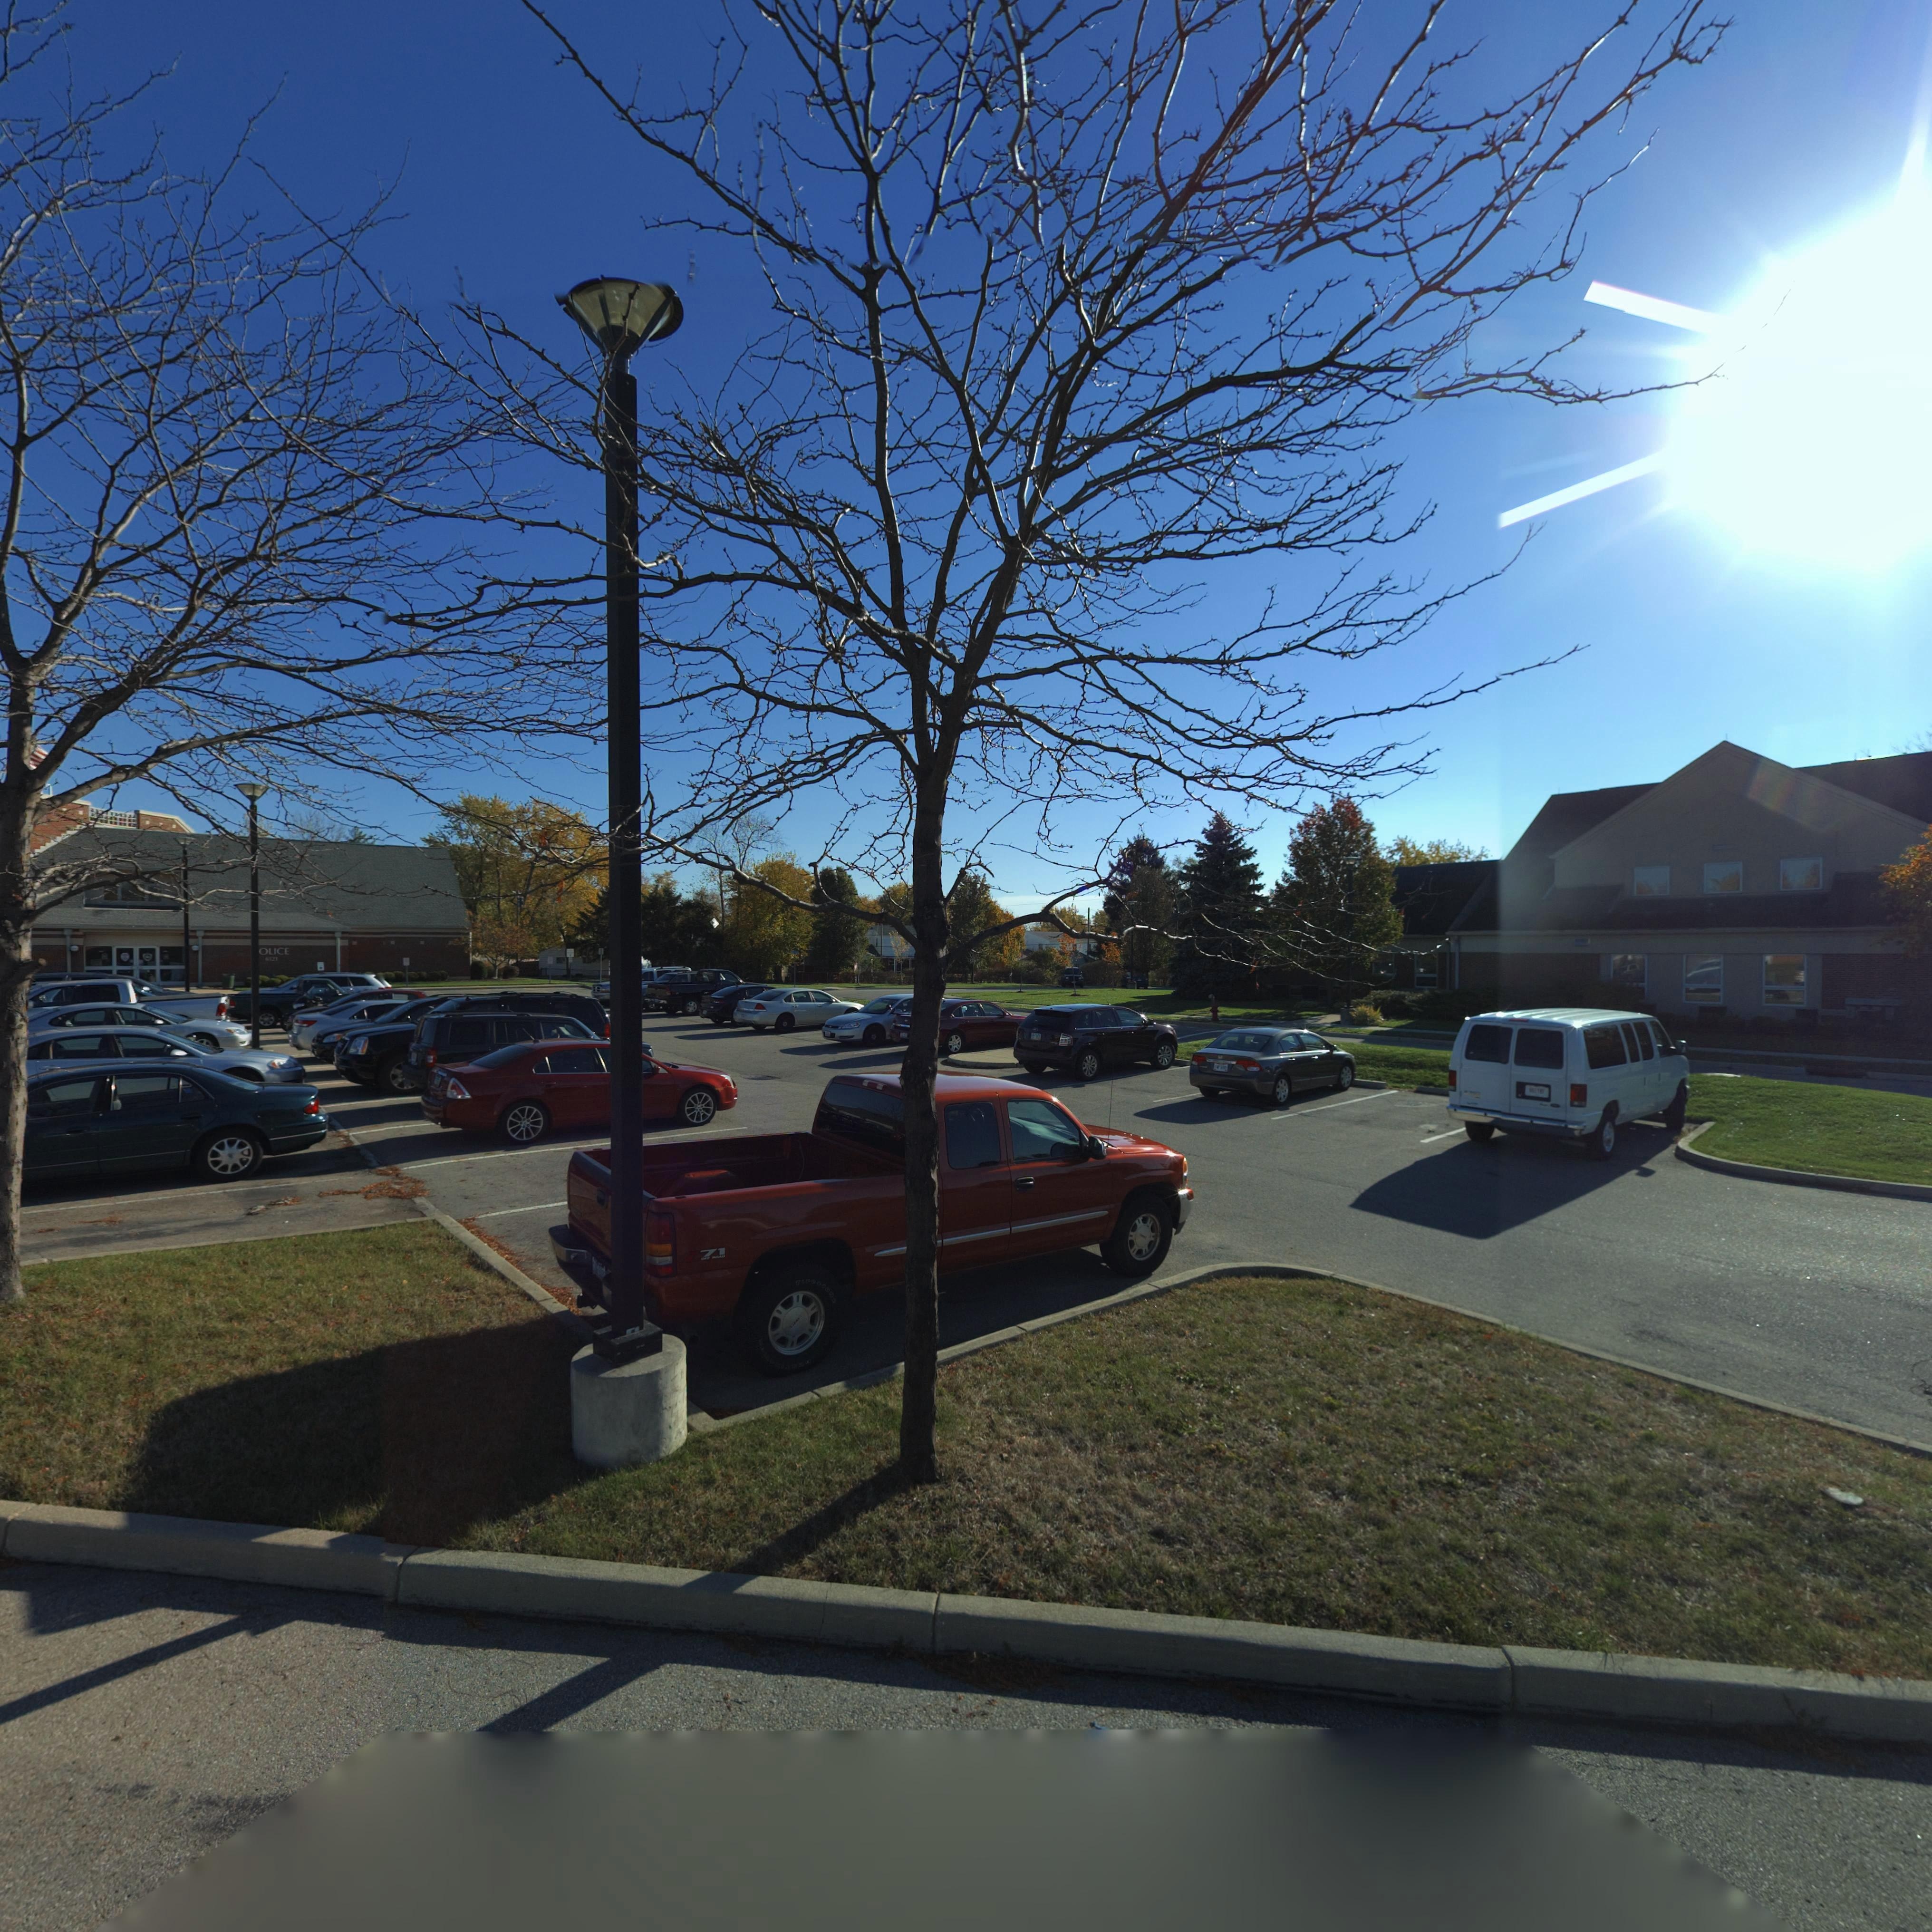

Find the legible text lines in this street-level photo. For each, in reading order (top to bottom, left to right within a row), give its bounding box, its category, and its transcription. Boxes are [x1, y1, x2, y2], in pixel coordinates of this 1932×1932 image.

[265, 956, 278, 961] StreetNumber: 6121